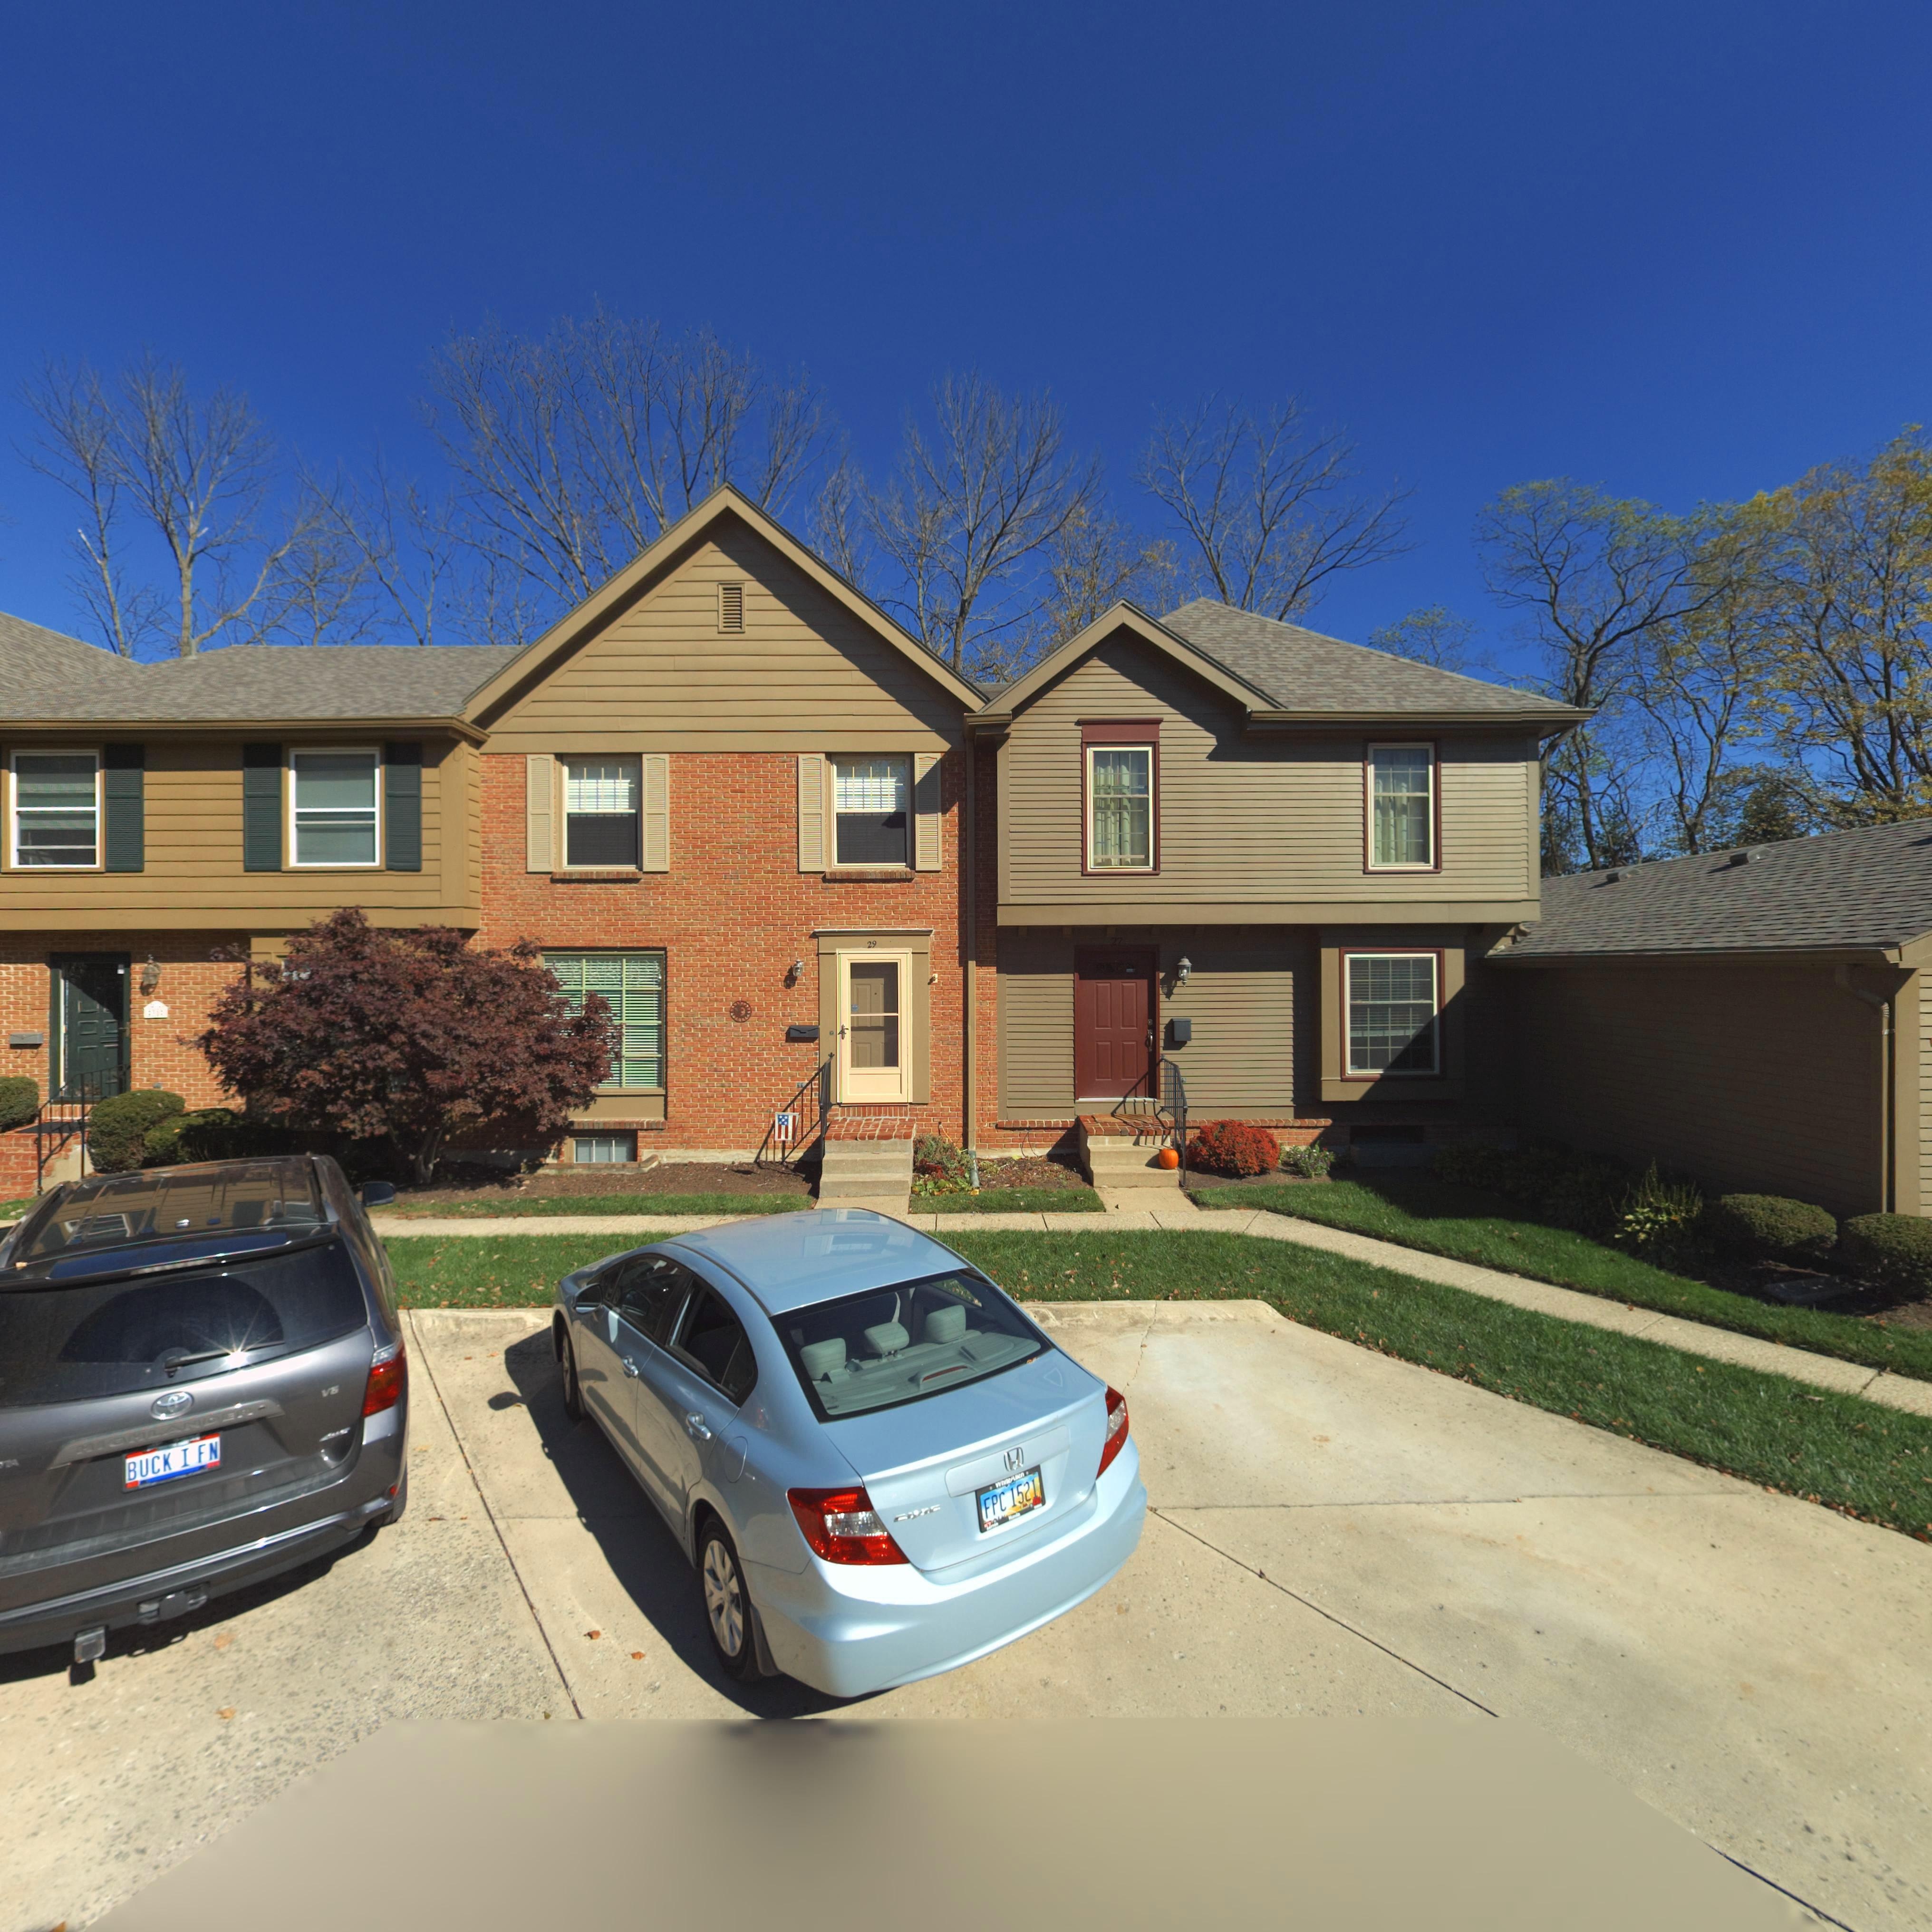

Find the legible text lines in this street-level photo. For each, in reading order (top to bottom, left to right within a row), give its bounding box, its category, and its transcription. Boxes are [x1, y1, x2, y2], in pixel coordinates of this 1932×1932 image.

[866, 940, 877, 948] StreetNumber: 29
[1111, 937, 1123, 945] StreetNumber: 27
[151, 1009, 159, 1017] StreetNumber: *1
[320, 1383, 340, 1399] None: V6
[75, 1405, 256, 1457] None: HIGHLANDER
[126, 1439, 219, 1483] None: BUCK*I*FN
[982, 1477, 1039, 1521] None: FPC*1521
[892, 1503, 941, 1524] None: CIVIC